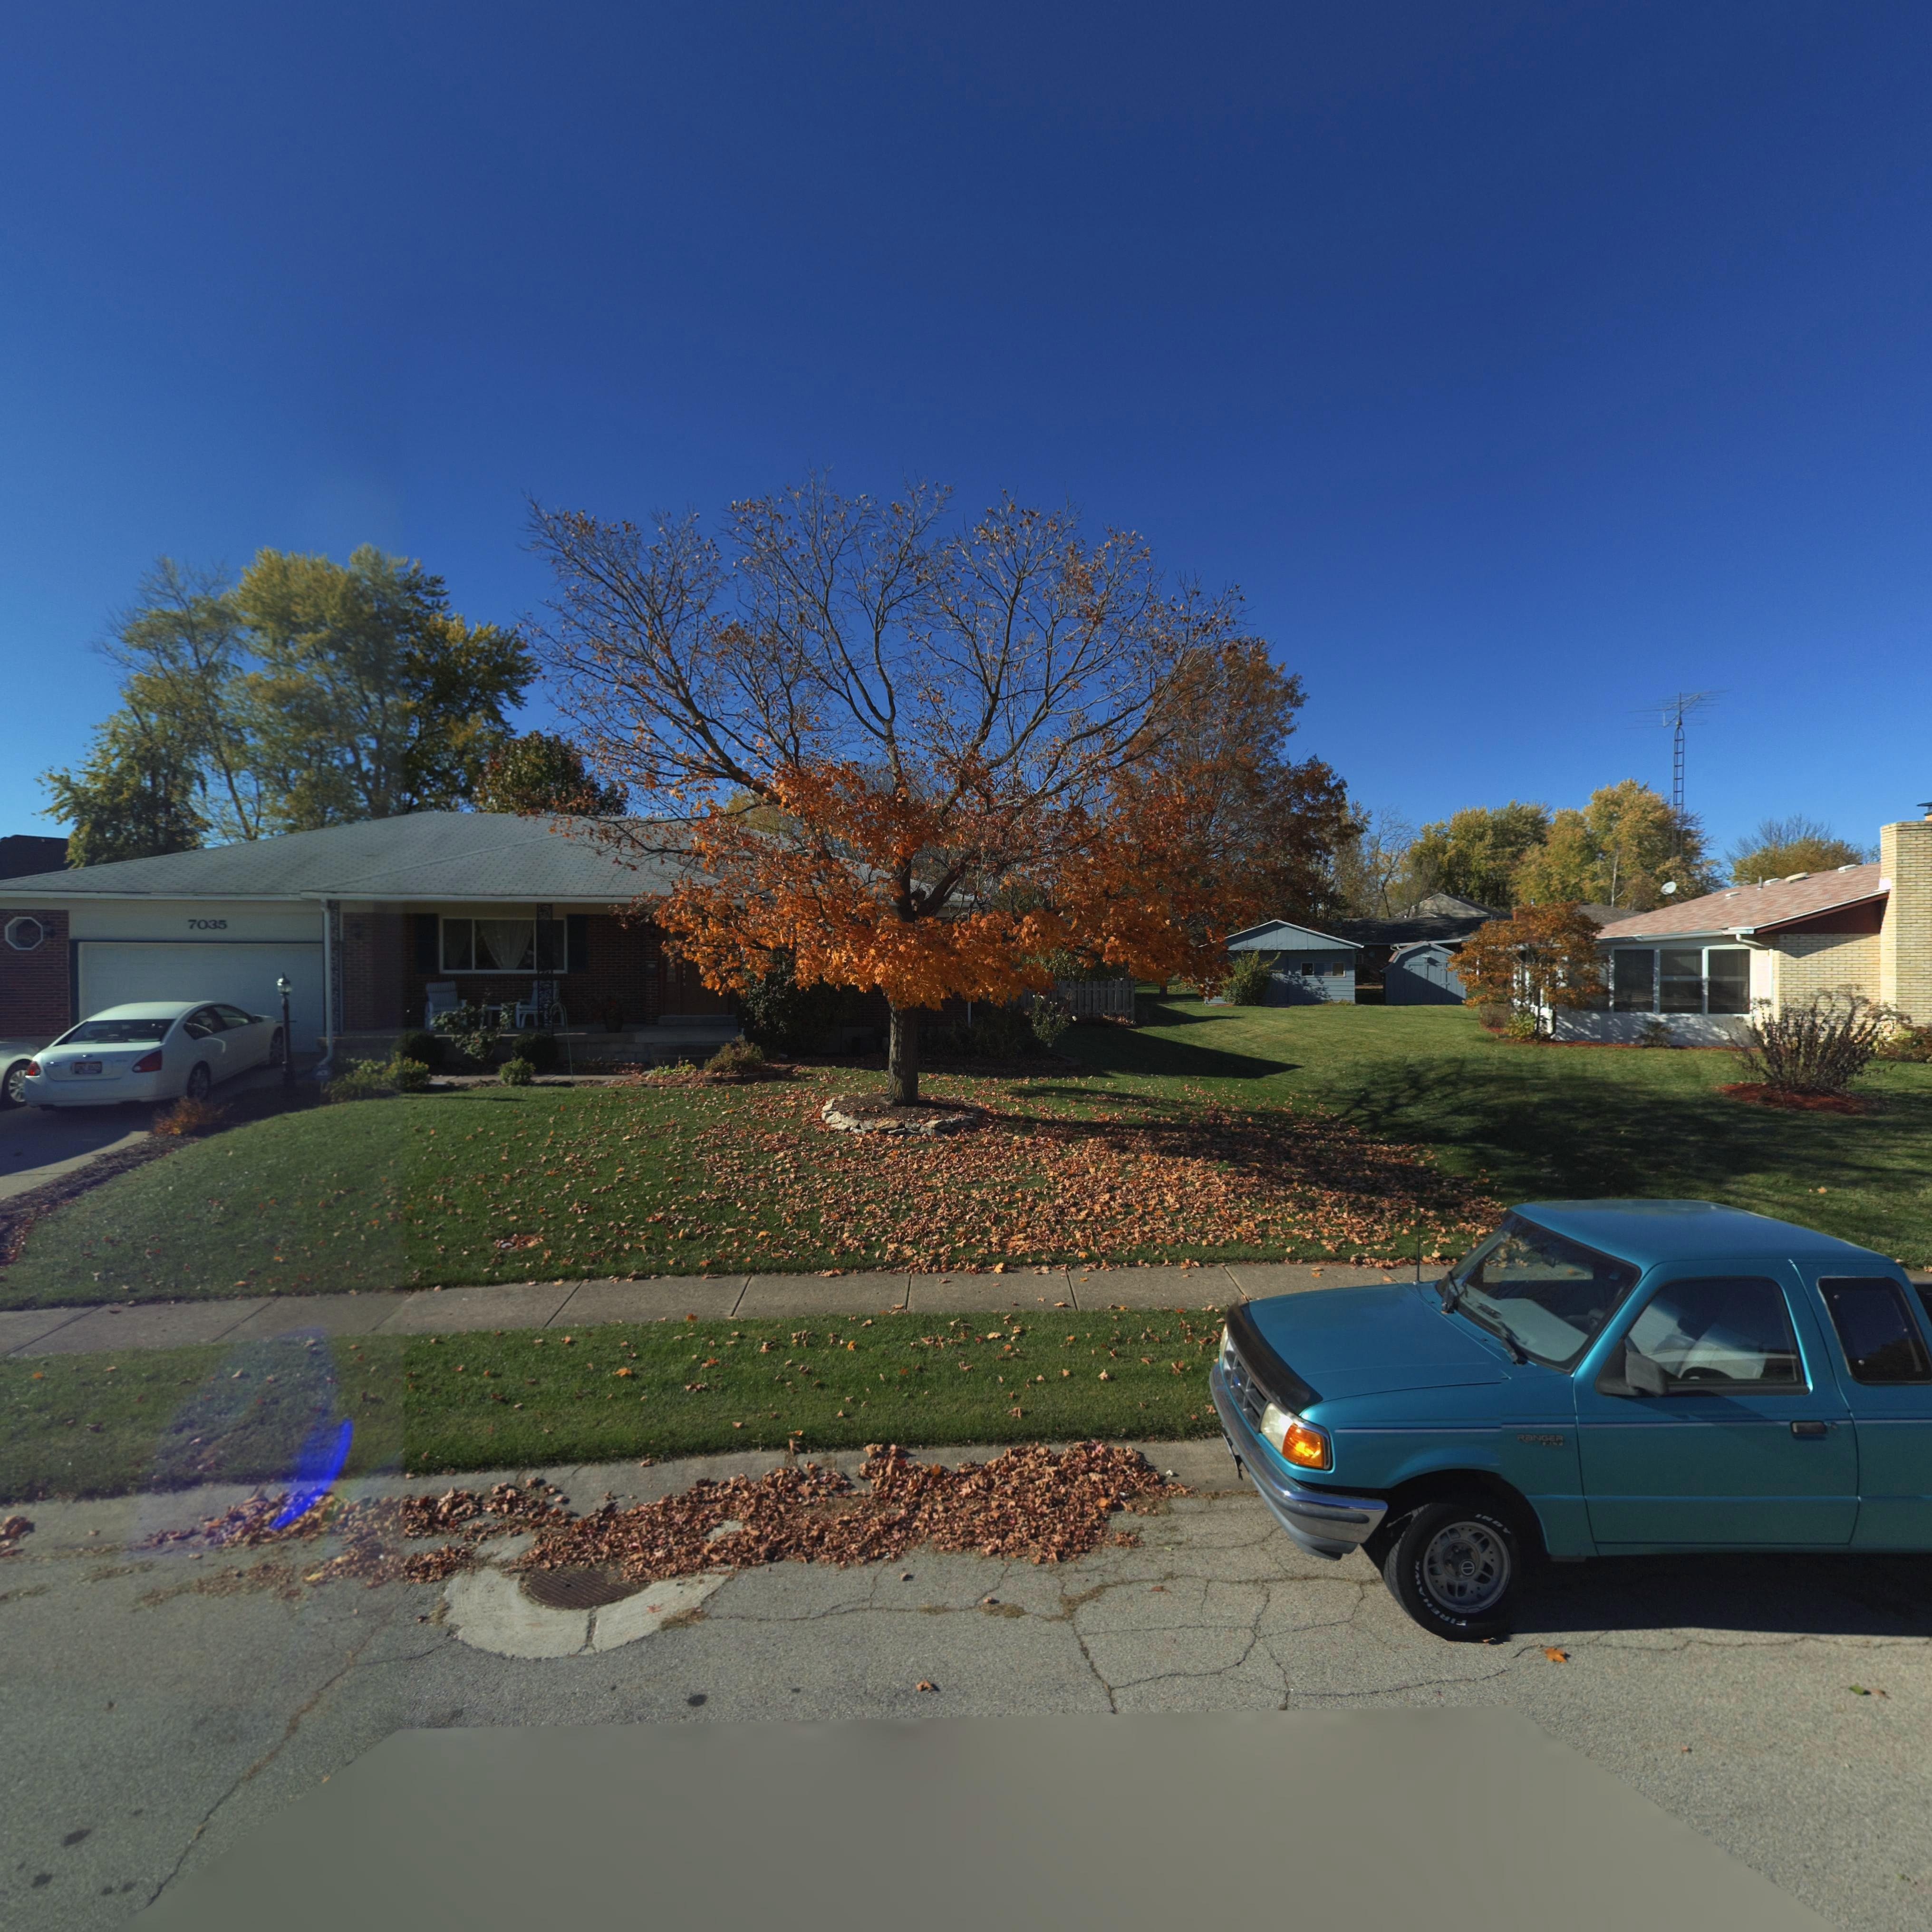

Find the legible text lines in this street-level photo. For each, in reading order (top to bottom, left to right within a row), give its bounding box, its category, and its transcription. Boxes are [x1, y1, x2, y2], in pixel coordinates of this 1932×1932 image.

[186, 918, 228, 930] StreetNumber: 7035